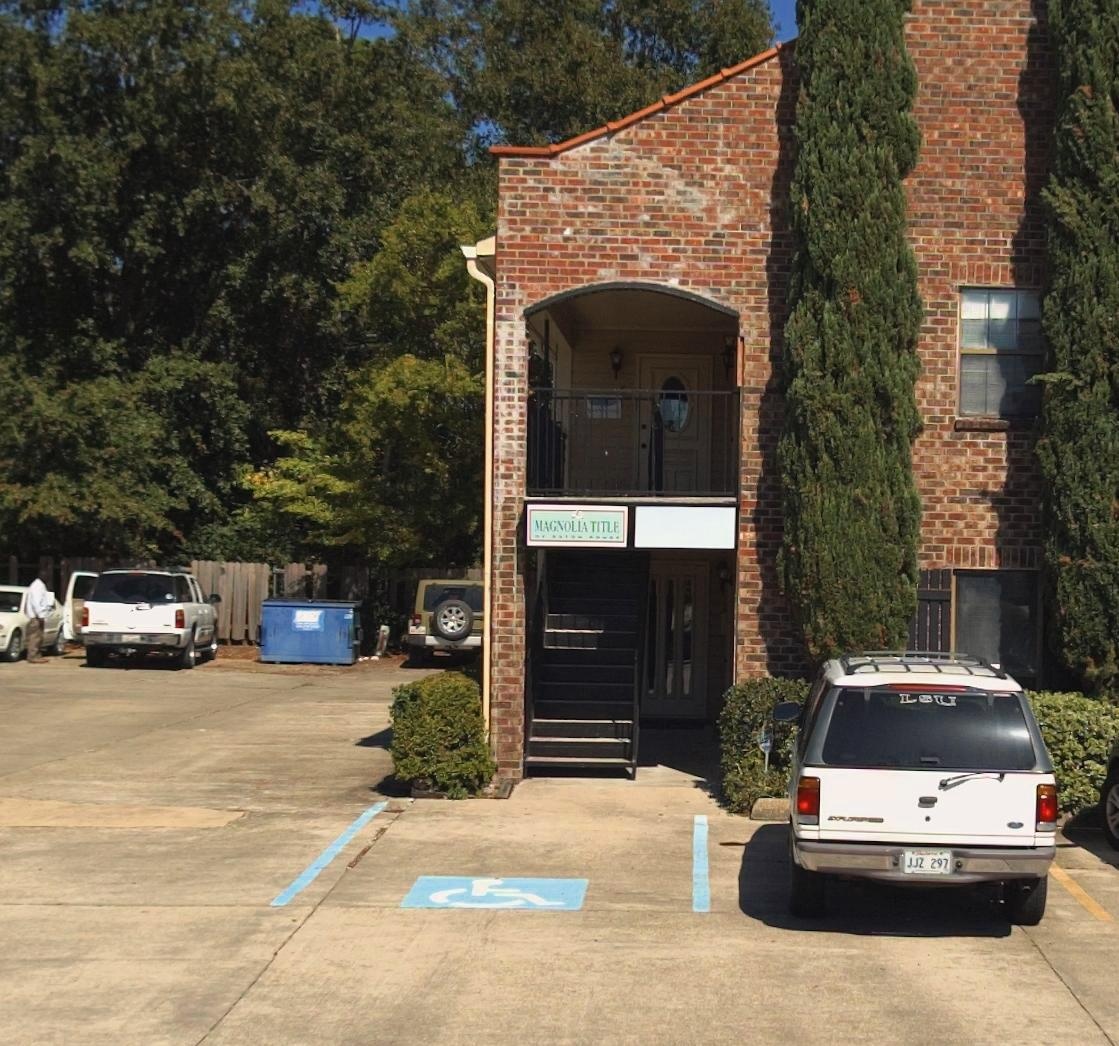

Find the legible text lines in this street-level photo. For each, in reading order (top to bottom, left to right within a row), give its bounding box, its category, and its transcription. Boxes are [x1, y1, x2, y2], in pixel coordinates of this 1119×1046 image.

[534, 518, 622, 535] BusinessName: MAGNOLIA TITLE
[897, 691, 960, 708] None: LSU
[826, 813, 850, 824] None: EXPL
[905, 855, 951, 871] None: JJZ 297